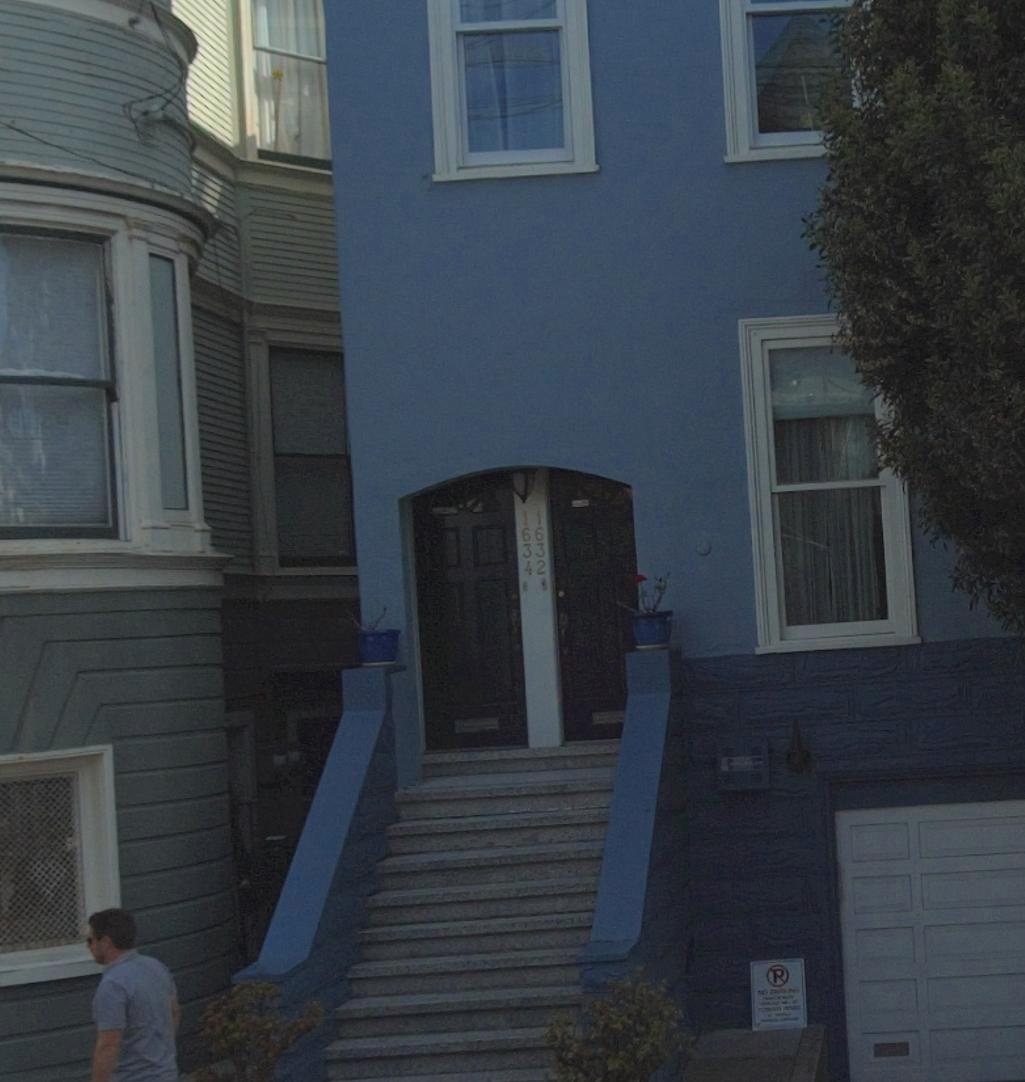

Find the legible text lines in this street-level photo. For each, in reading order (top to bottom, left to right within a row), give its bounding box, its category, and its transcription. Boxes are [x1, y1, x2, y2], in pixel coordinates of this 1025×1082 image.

[520, 508, 536, 579] StreetNumber: 1634
[533, 507, 549, 578] StreetNumber: 1632
[756, 987, 771, 998] None: *O